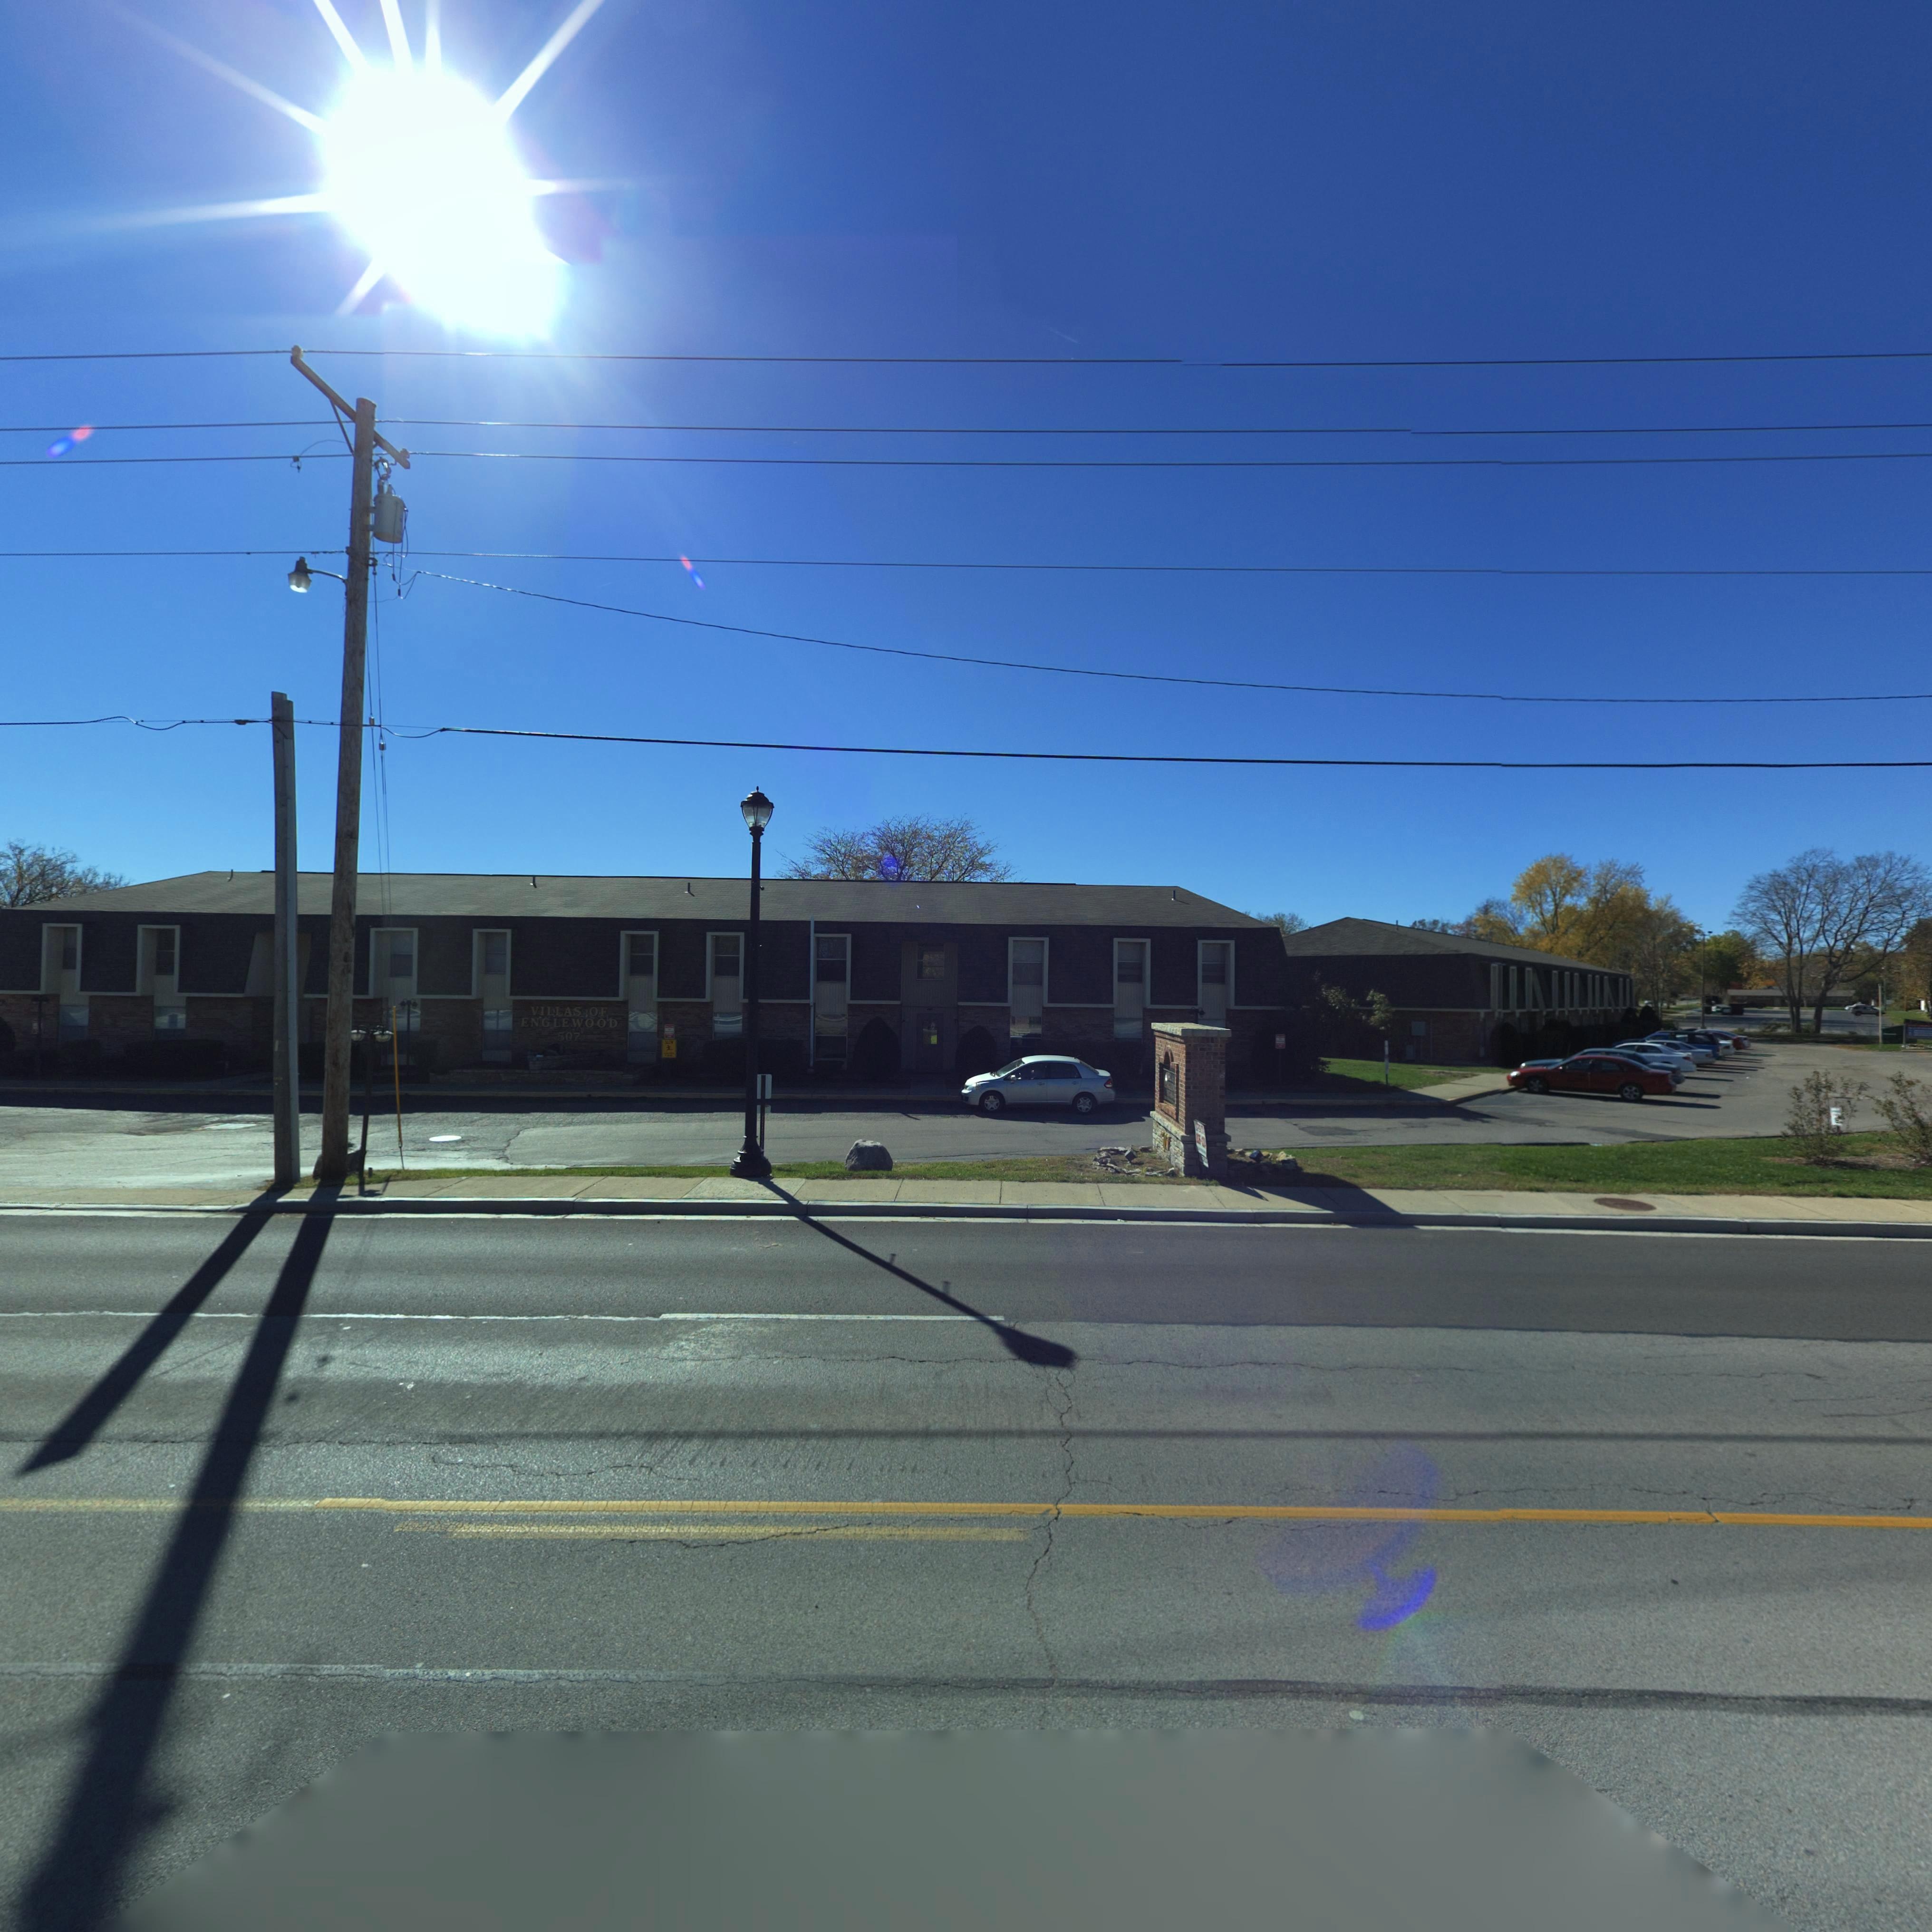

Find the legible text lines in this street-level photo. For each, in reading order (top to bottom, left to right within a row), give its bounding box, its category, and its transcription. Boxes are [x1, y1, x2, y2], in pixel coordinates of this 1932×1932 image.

[530, 1005, 609, 1017] BusinessName: VILLAS OF
[520, 1017, 619, 1029] BusinessName: ENGLEWOOD
[556, 1031, 581, 1043] StreetNumber: 507
[664, 1040, 675, 1045] None: SLOW